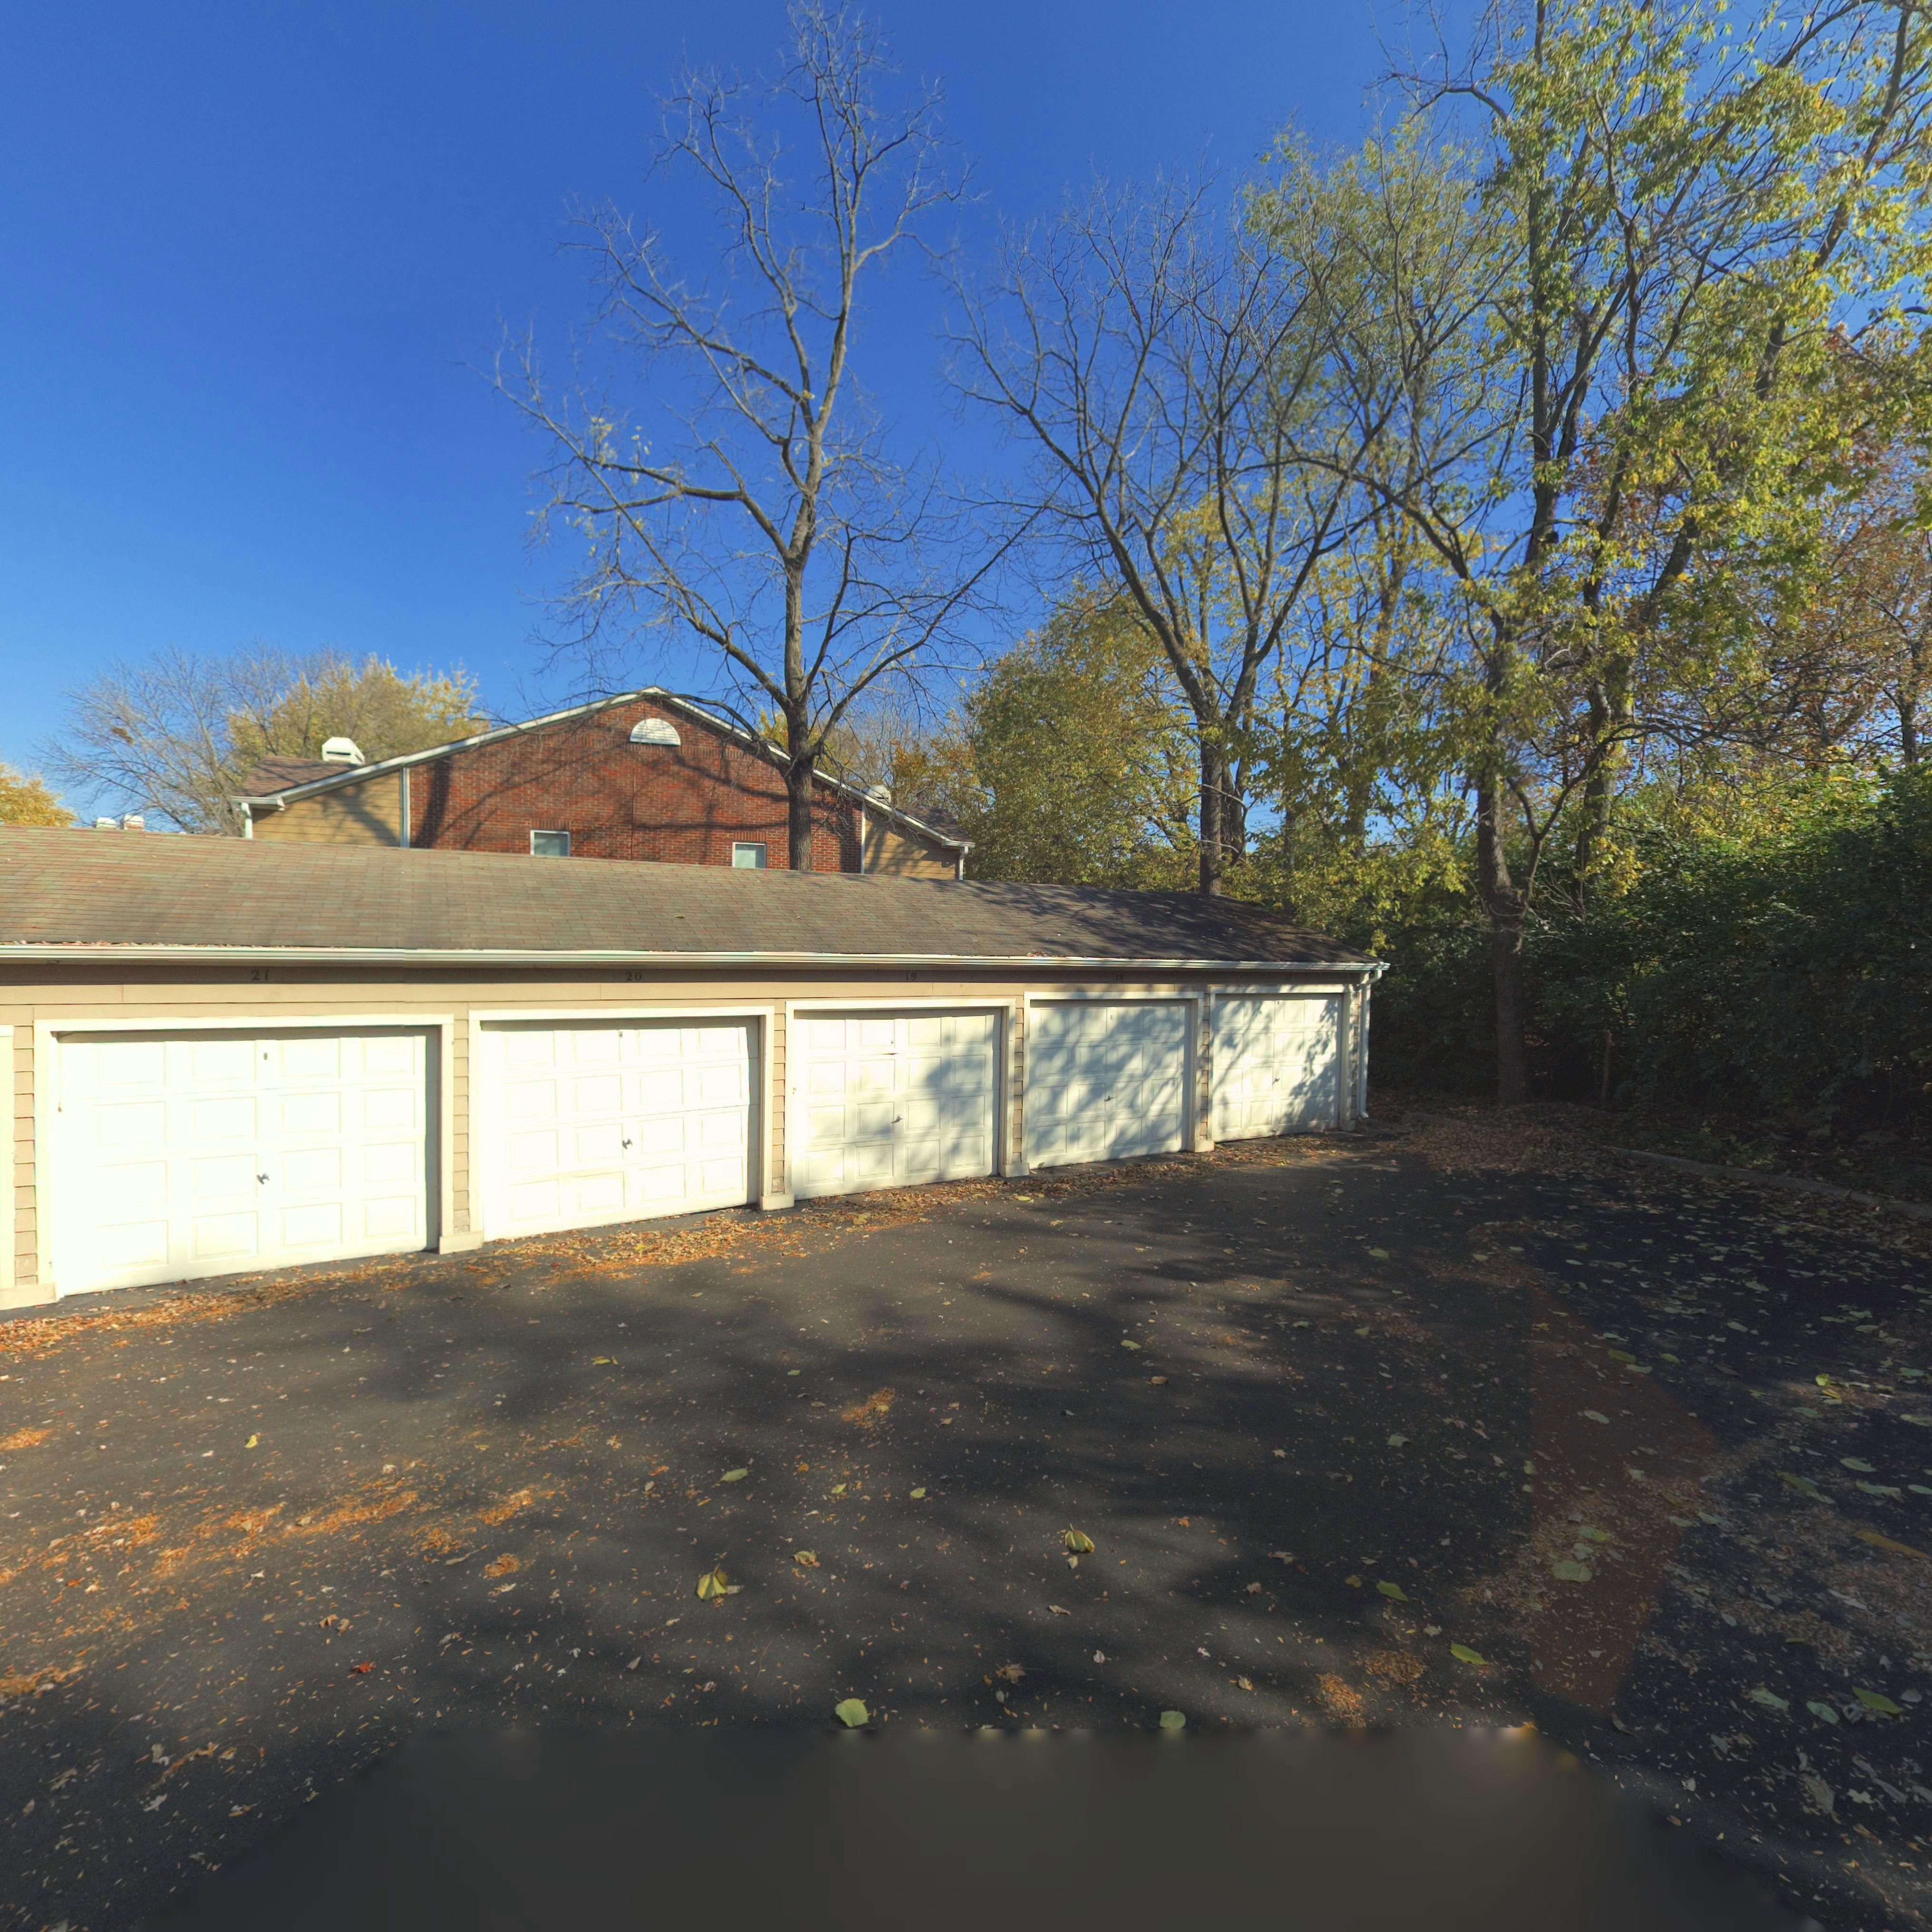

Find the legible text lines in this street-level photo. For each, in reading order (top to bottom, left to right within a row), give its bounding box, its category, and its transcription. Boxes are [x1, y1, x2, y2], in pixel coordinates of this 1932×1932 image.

[250, 968, 270, 982] StreetNumber: 21
[624, 970, 643, 982] StreetNumber: 20
[905, 971, 917, 981] StreetNumber: 19
[1115, 972, 1125, 982] StreetNumber: 18
[1284, 973, 1293, 983] StreetNumber: 17